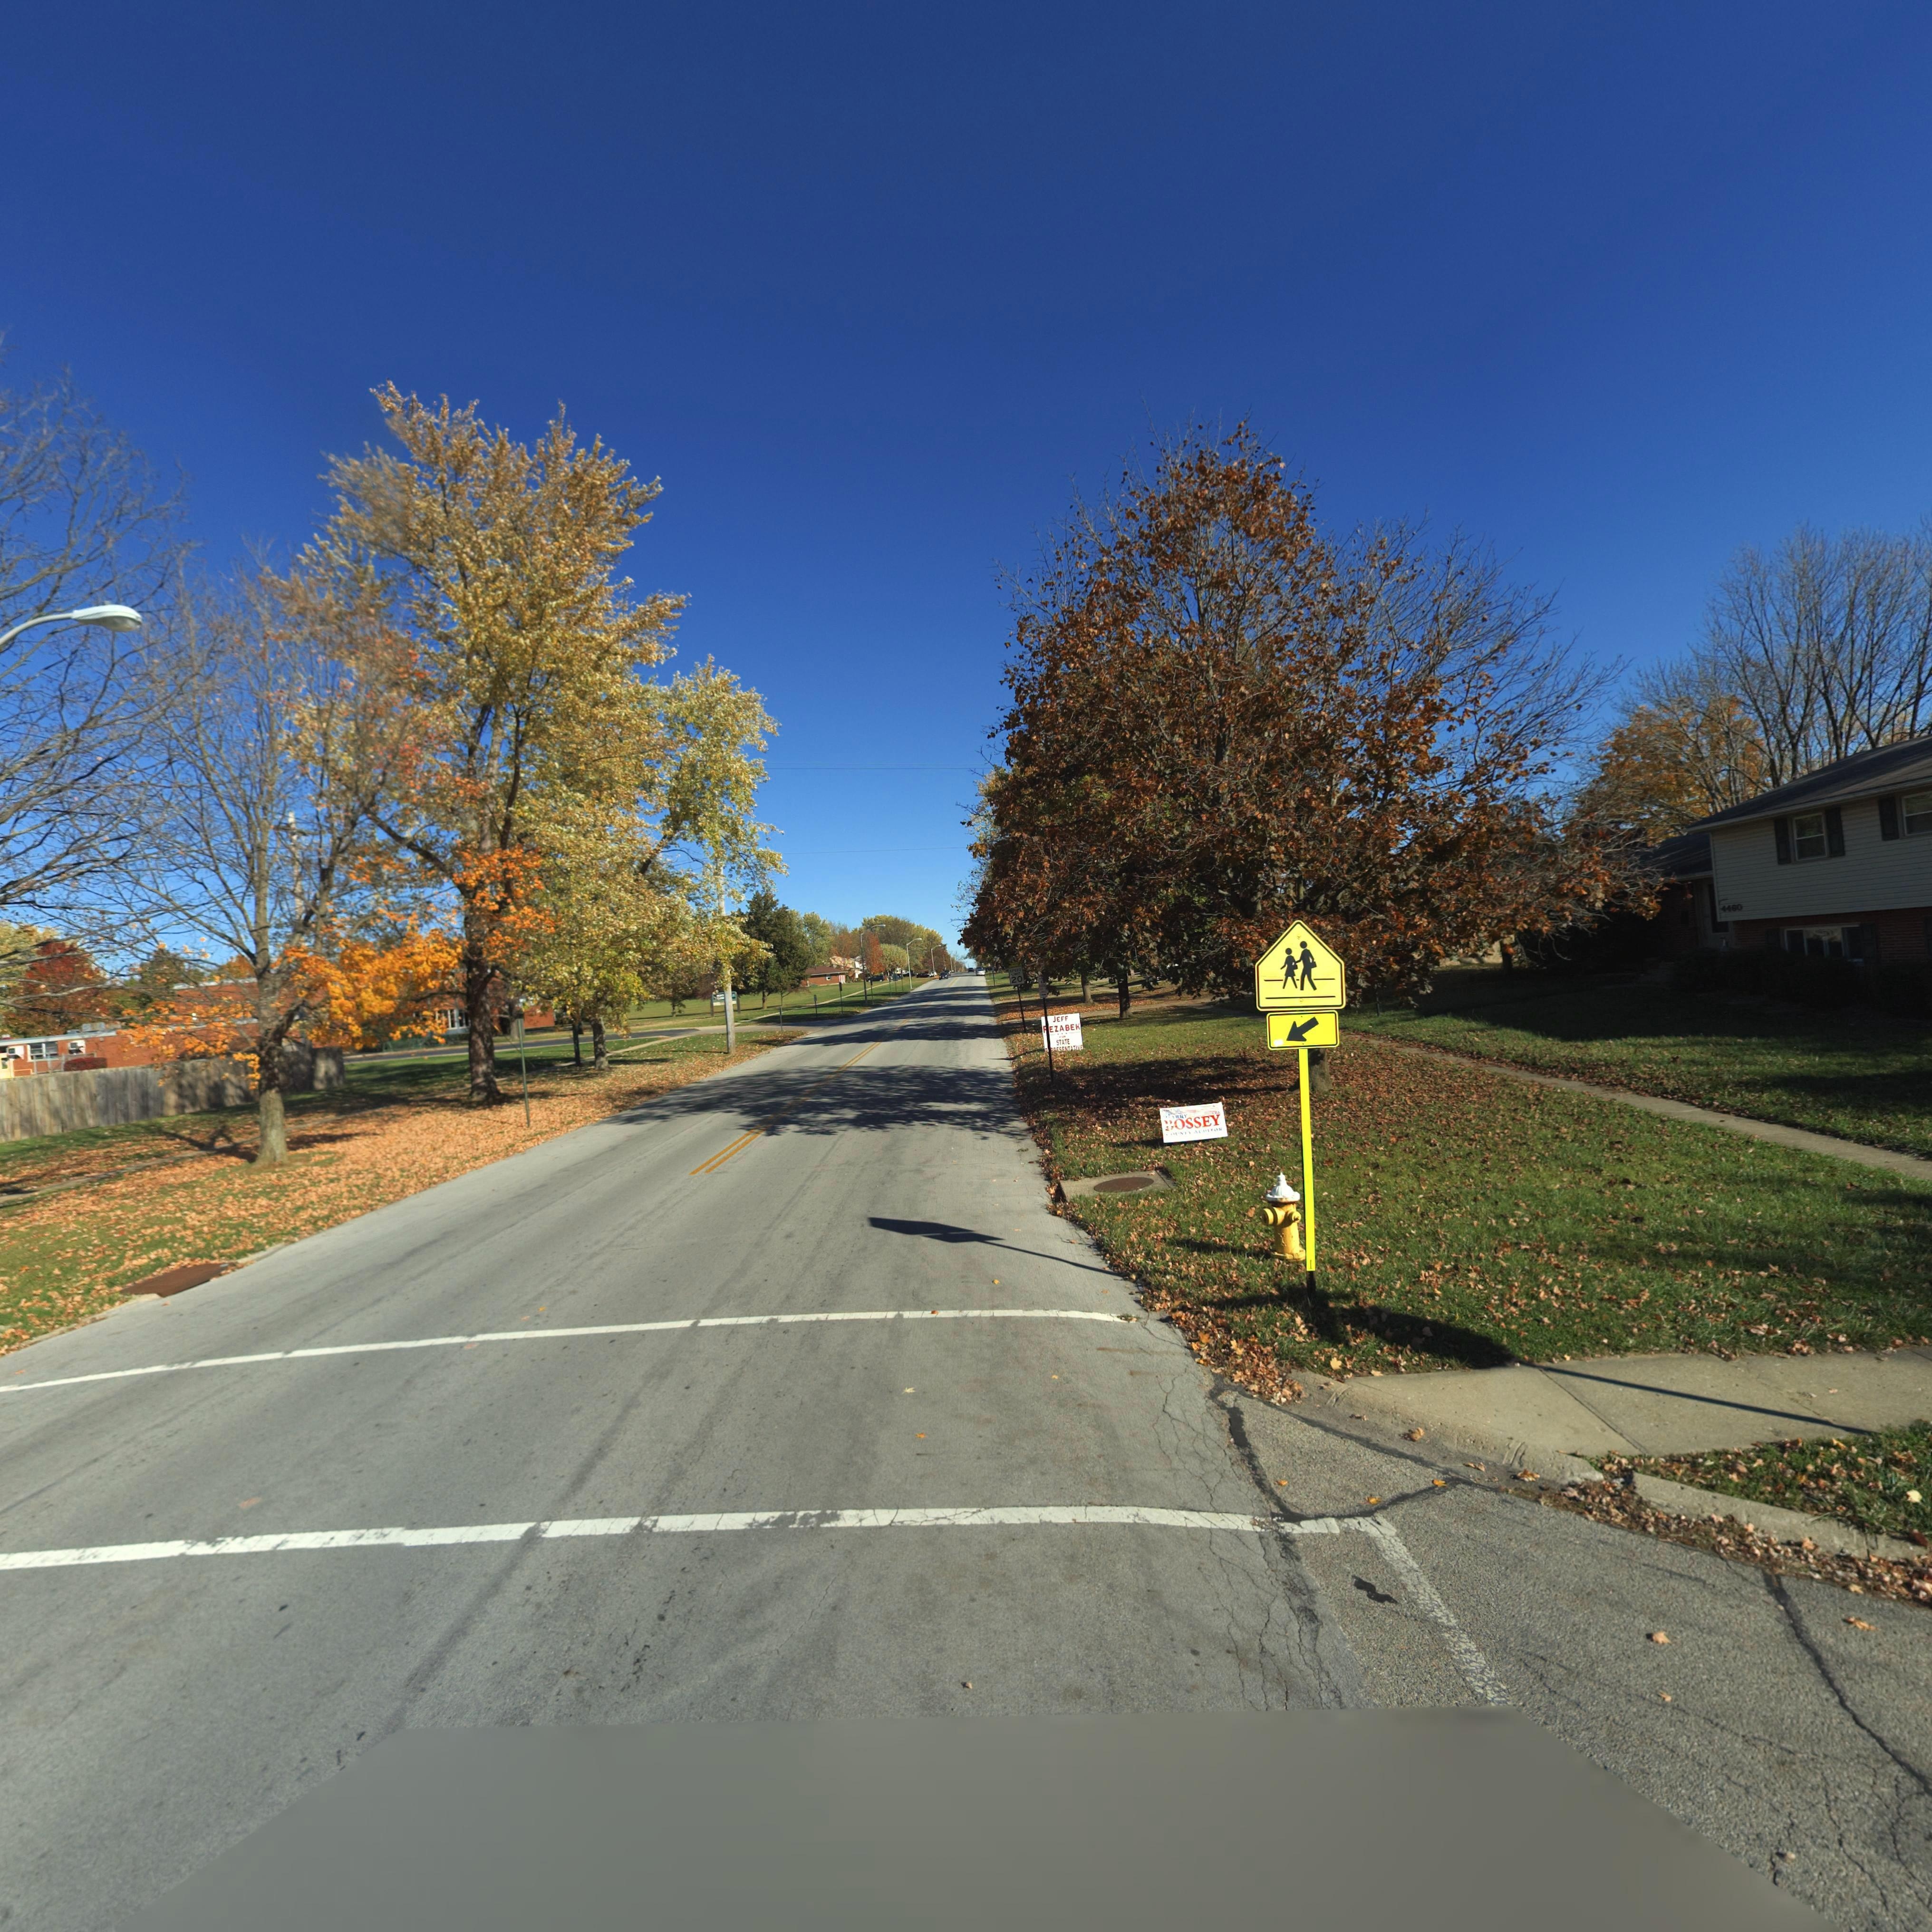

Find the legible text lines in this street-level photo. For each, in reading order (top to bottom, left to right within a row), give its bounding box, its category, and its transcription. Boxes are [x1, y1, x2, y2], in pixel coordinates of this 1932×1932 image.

[1720, 903, 1744, 912] StreetNumber: 4460